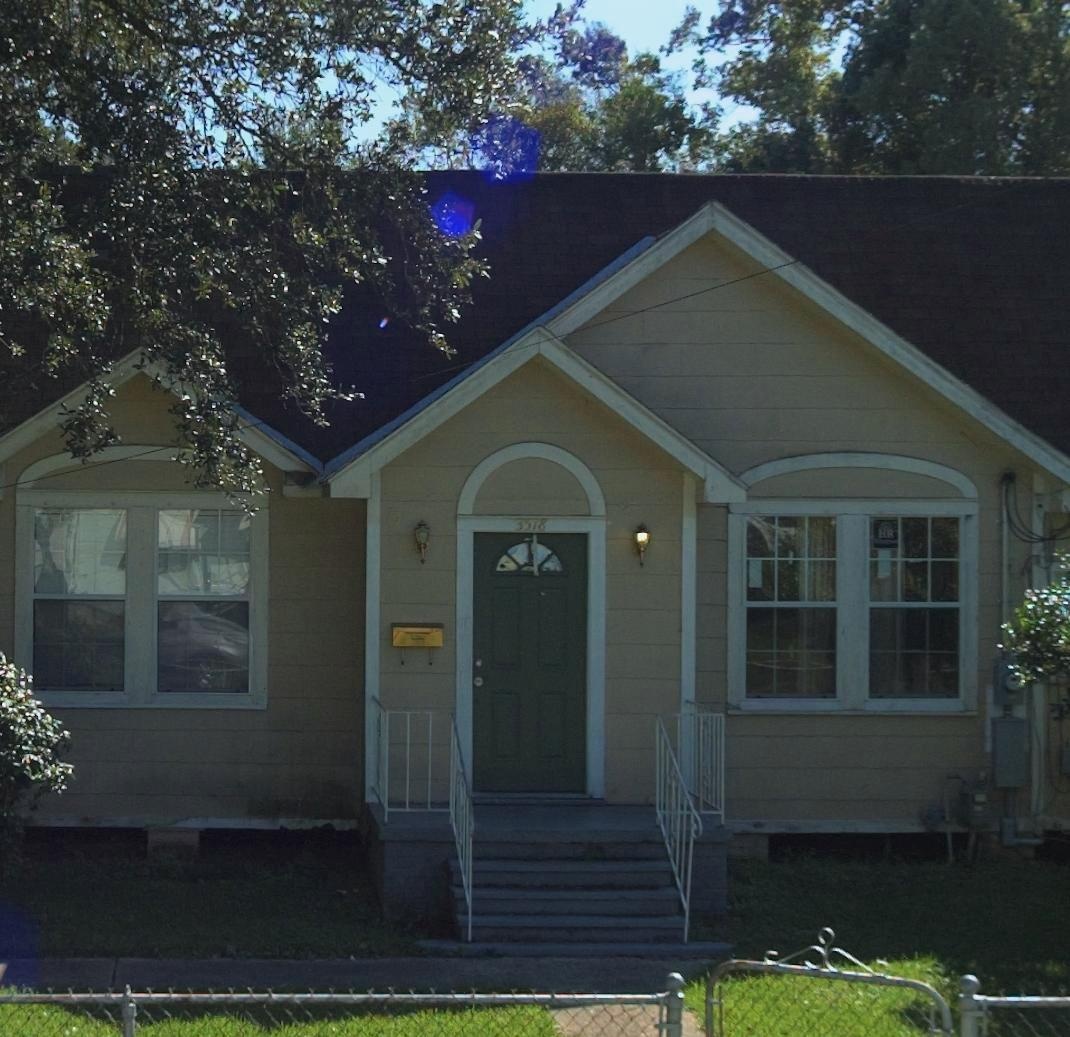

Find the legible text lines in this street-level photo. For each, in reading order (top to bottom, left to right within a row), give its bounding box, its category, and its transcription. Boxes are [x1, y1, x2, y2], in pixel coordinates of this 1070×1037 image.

[514, 517, 551, 532] StreetNumber: 3518